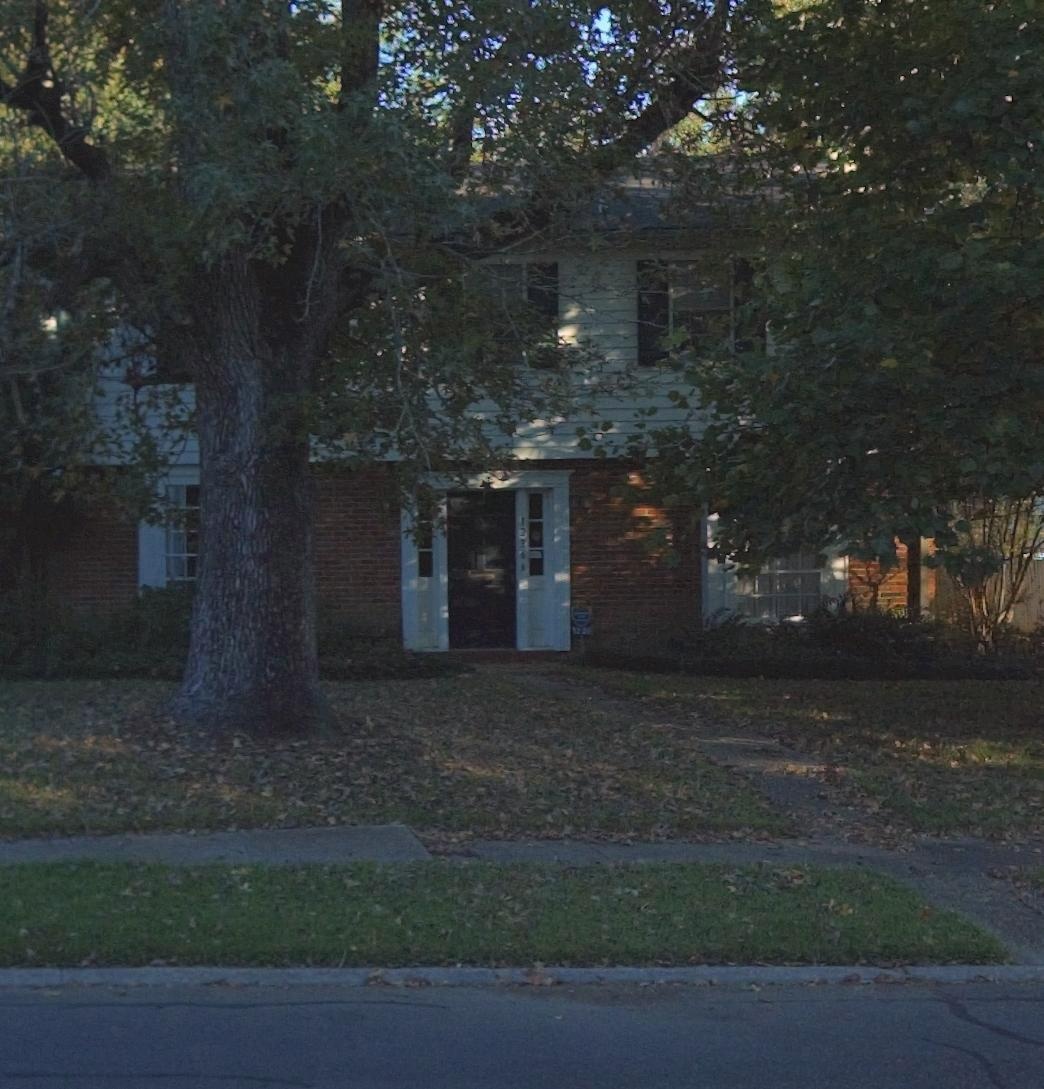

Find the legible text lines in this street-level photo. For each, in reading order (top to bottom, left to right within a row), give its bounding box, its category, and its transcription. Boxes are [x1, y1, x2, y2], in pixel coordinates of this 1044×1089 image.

[518, 515, 528, 573] StreetNumber: 12361